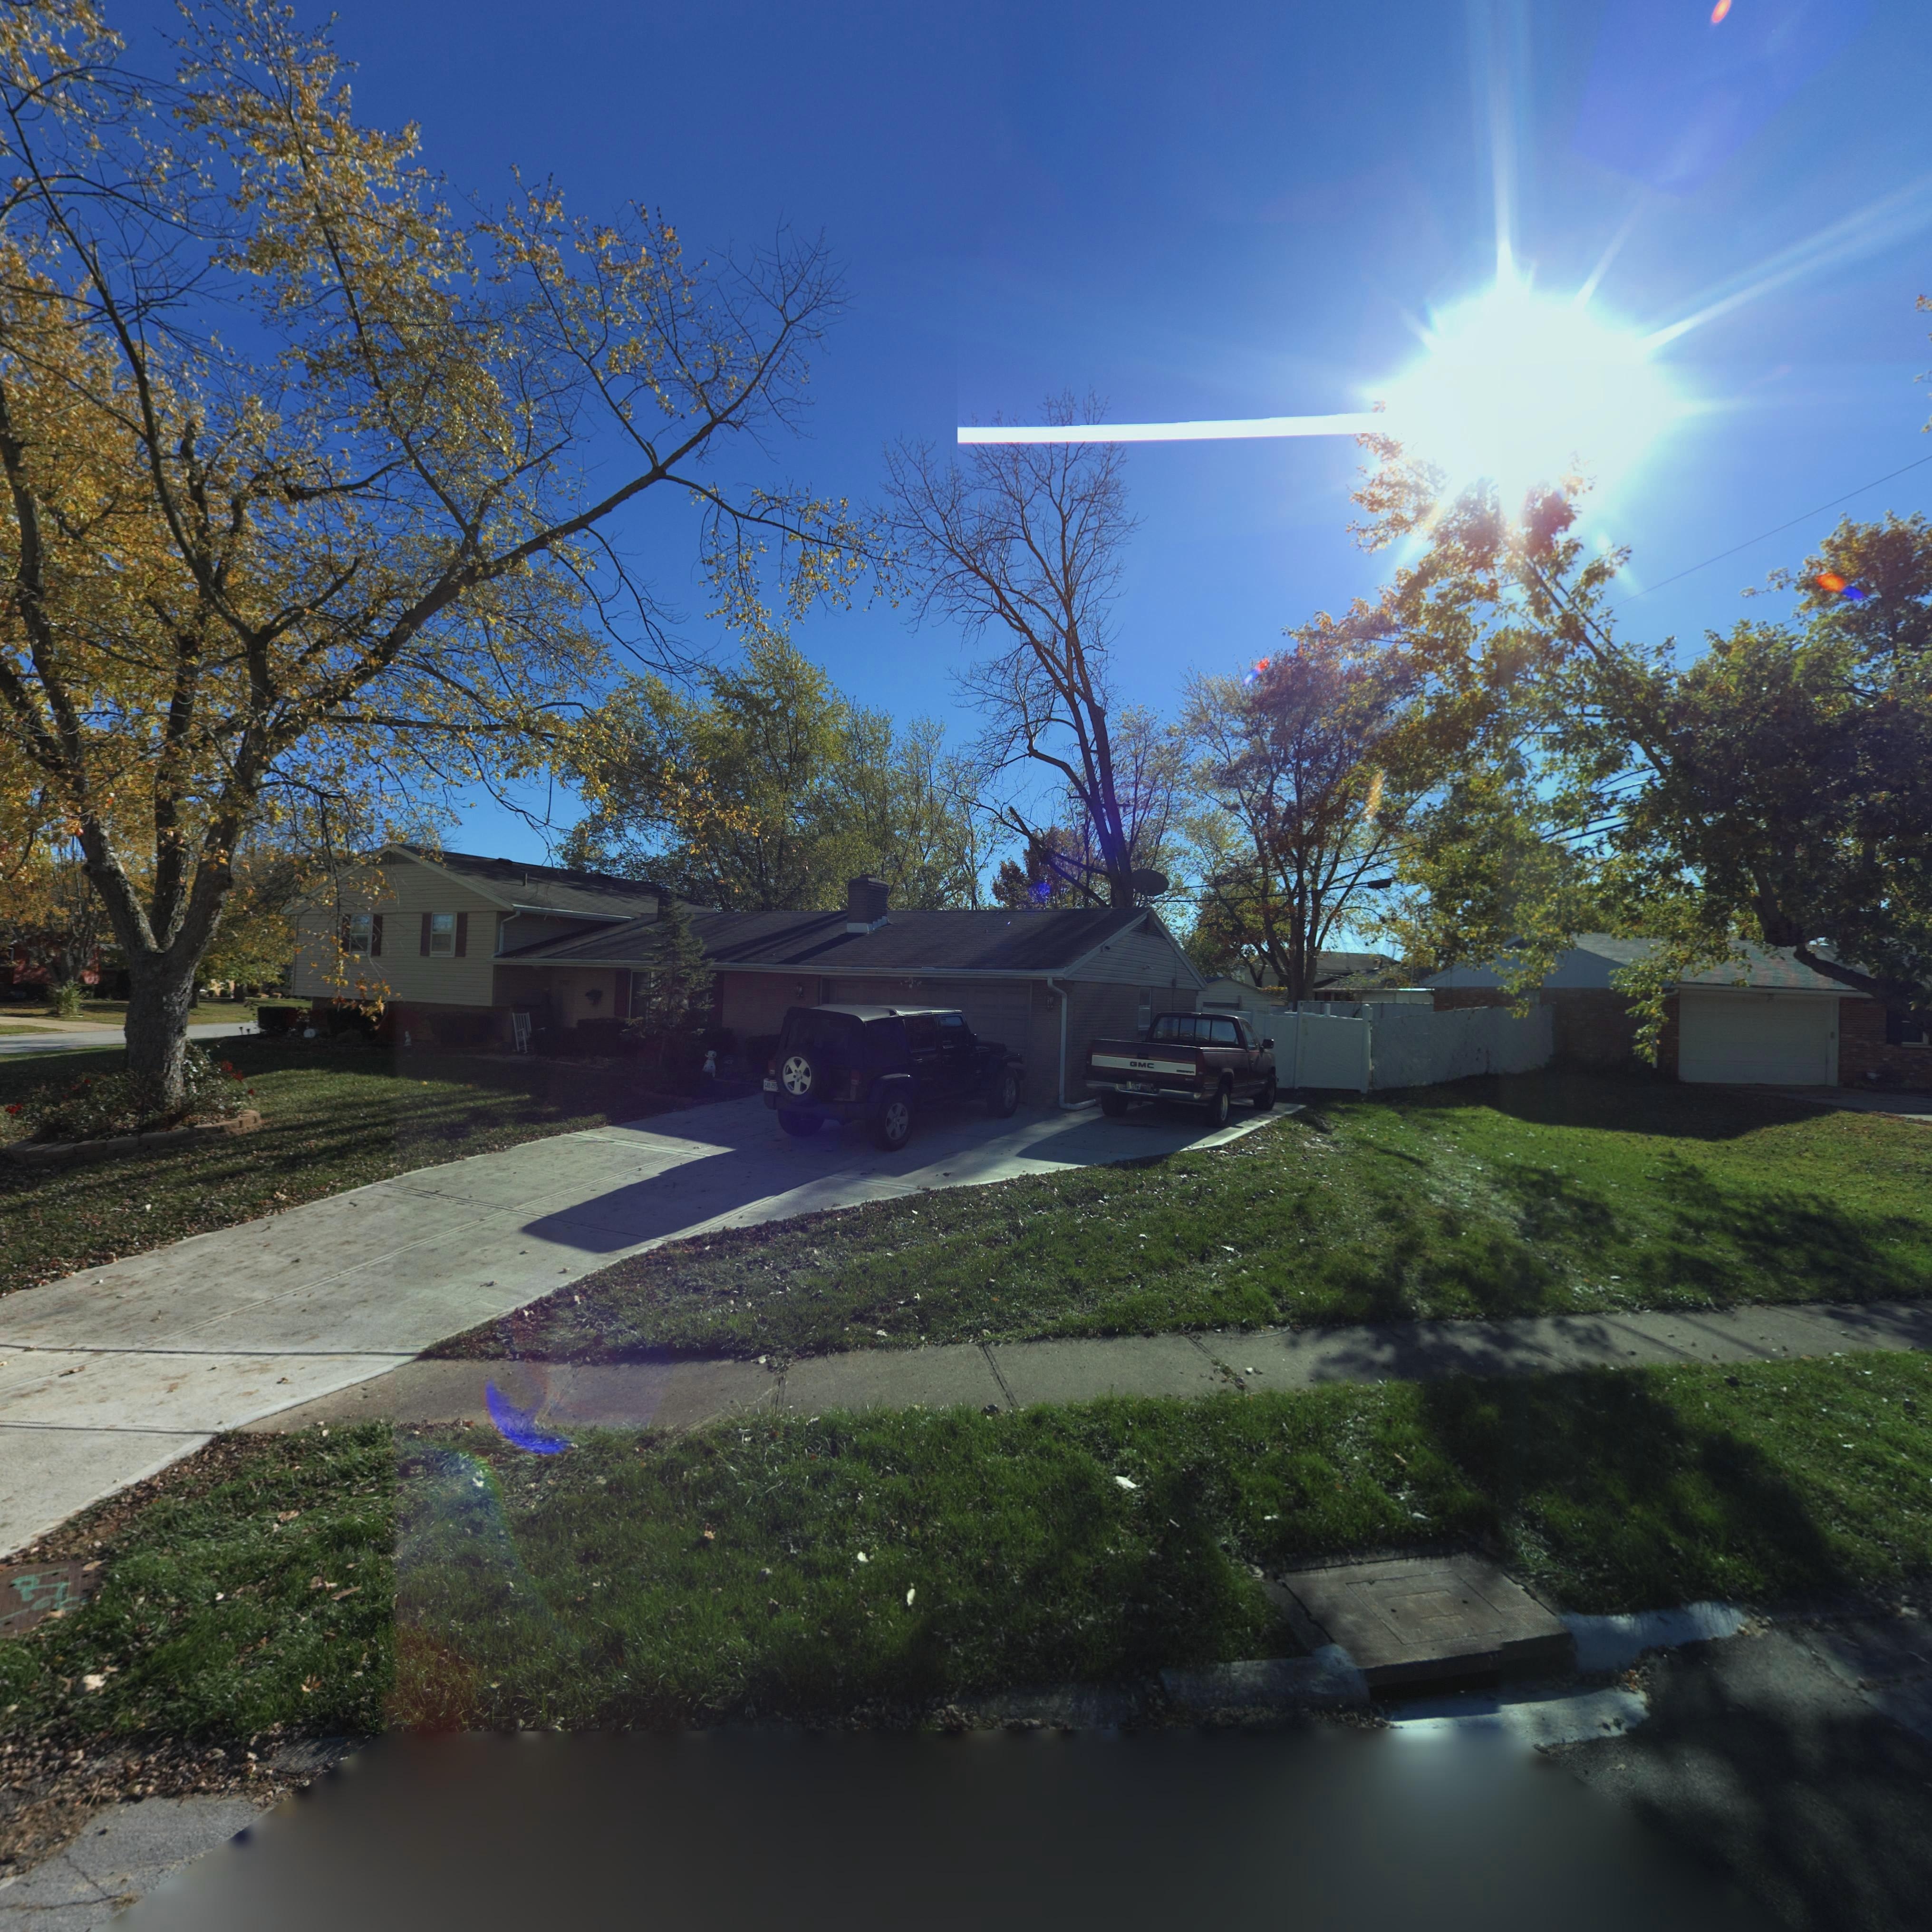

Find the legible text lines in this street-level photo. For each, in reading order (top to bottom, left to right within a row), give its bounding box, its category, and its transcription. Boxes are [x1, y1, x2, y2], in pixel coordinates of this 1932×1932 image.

[556, 980, 570, 985] StreetNumber: ***3